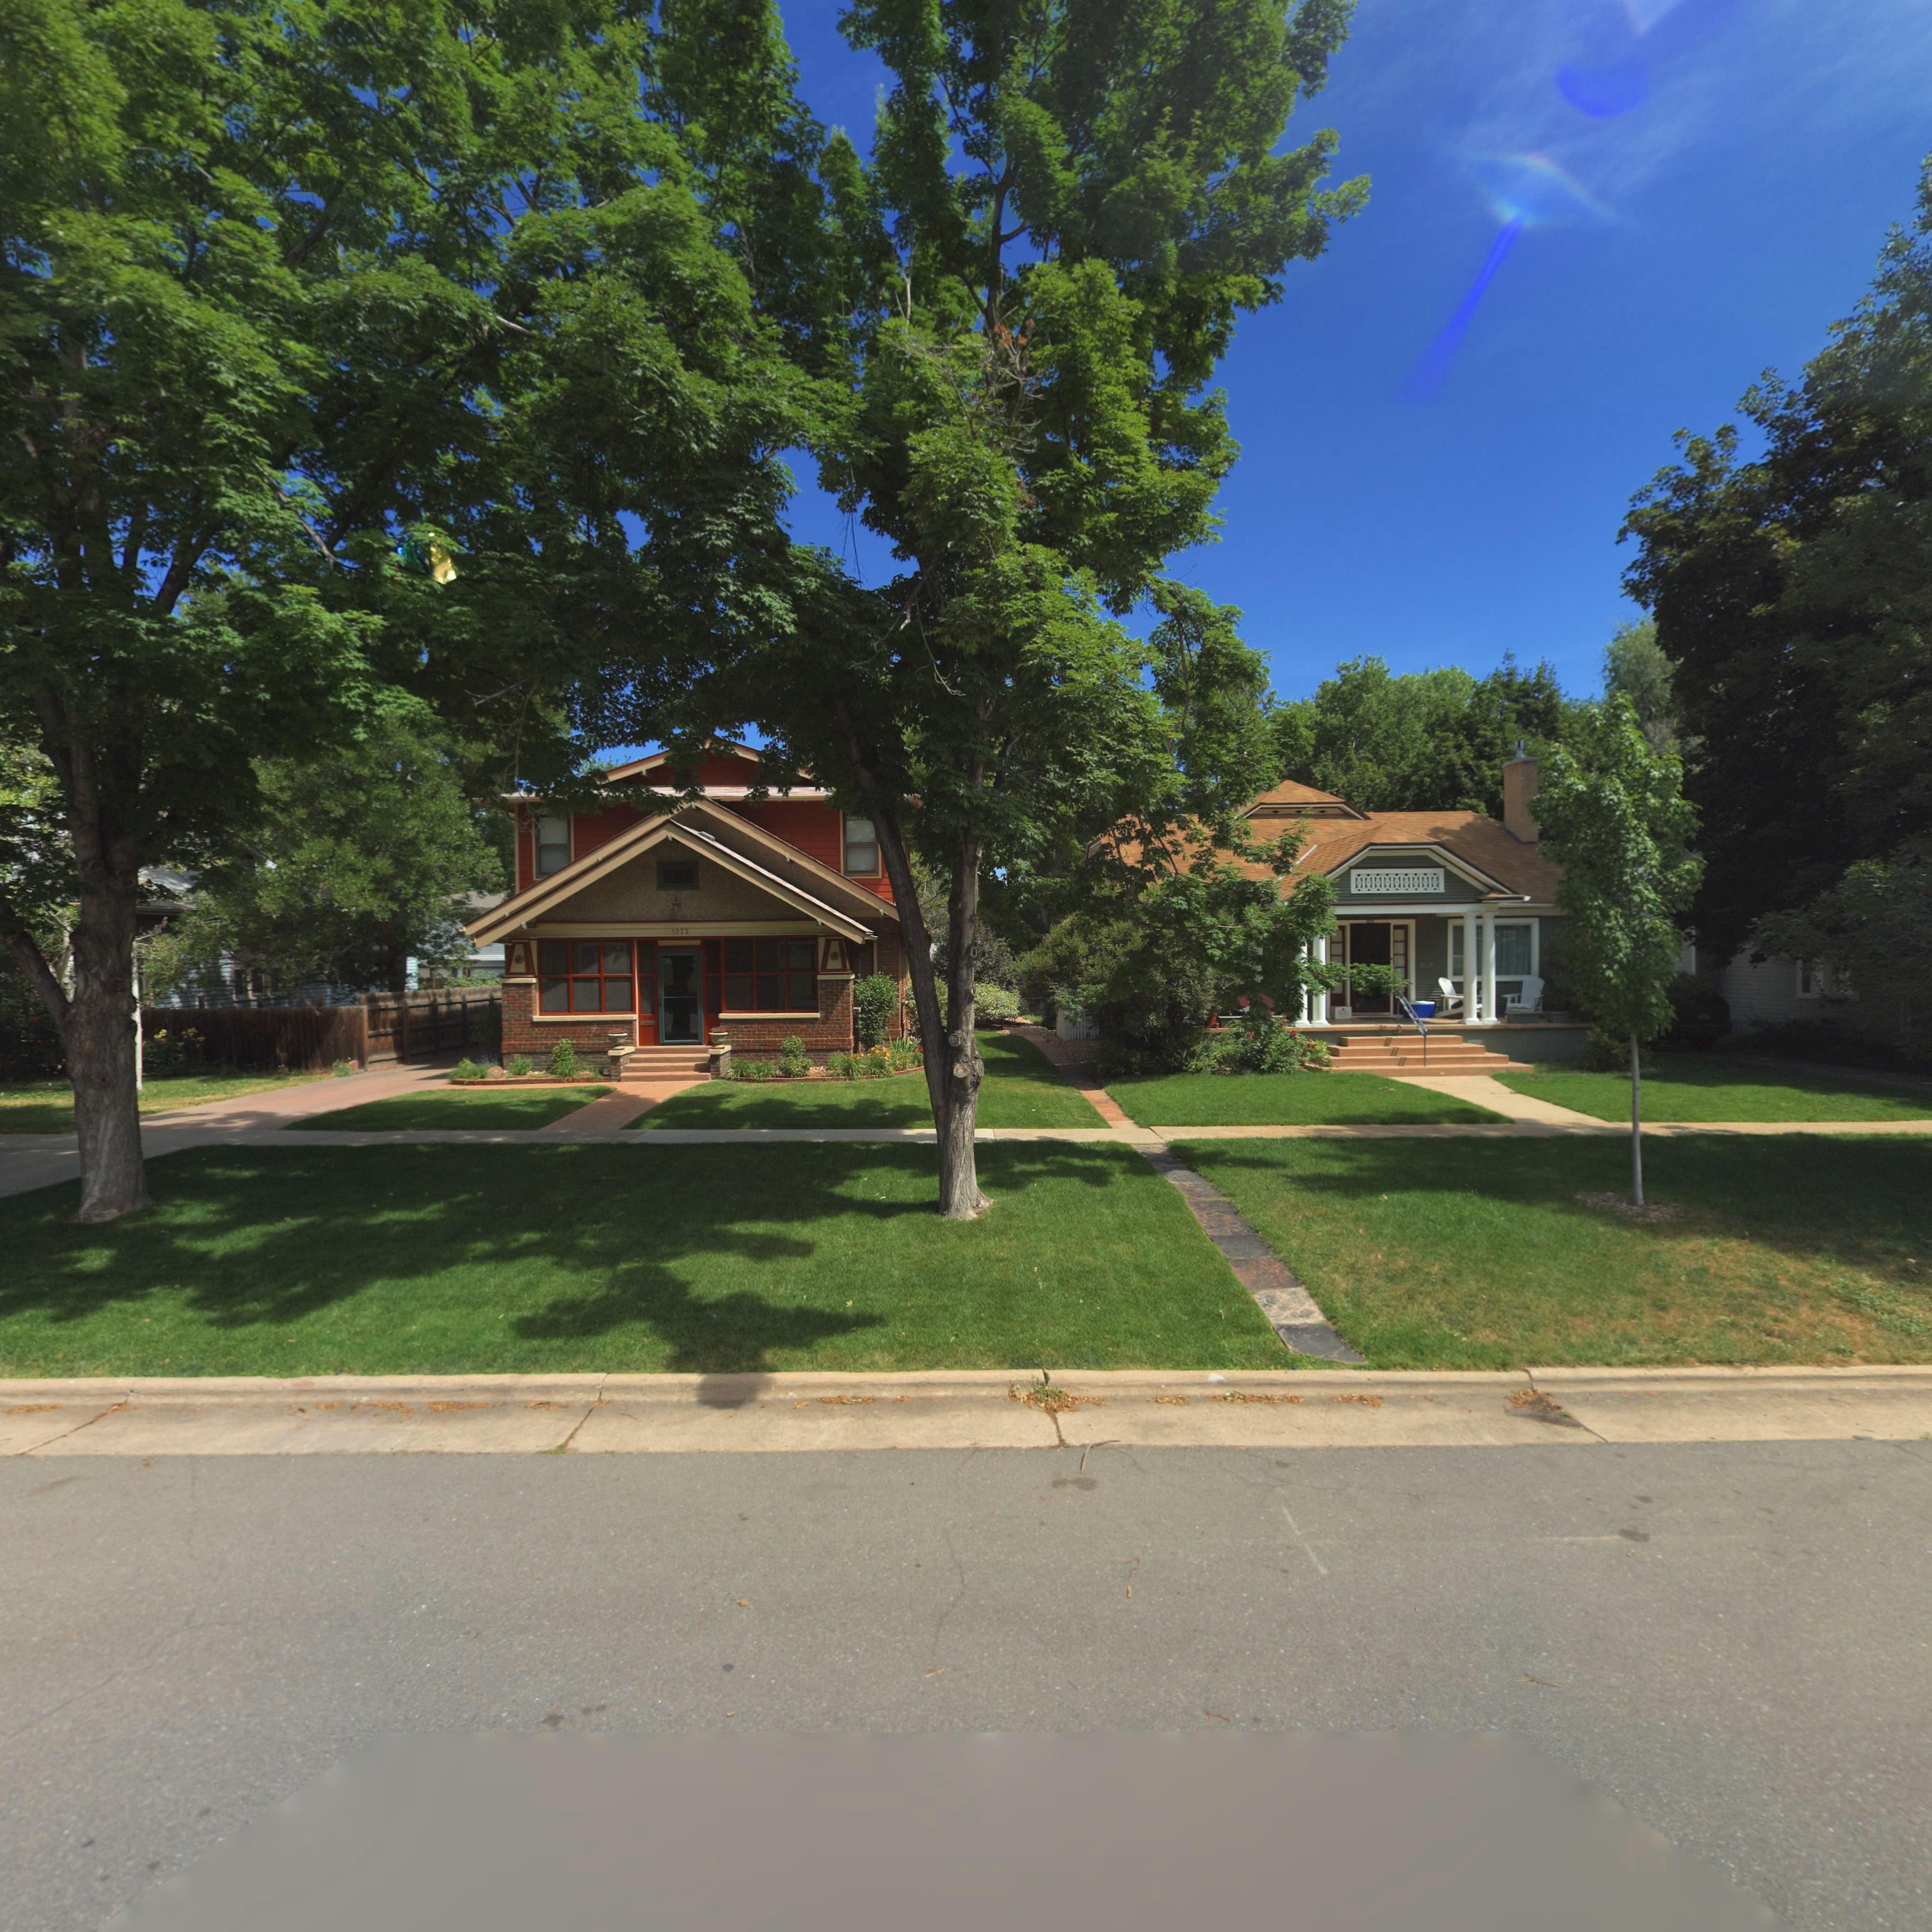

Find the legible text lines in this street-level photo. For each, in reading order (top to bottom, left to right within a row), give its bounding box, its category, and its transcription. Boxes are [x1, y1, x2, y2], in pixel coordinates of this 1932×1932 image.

[1366, 919, 1374, 923] StreetNumber: ***4
[671, 927, 689, 934] StreetNumber: 1022